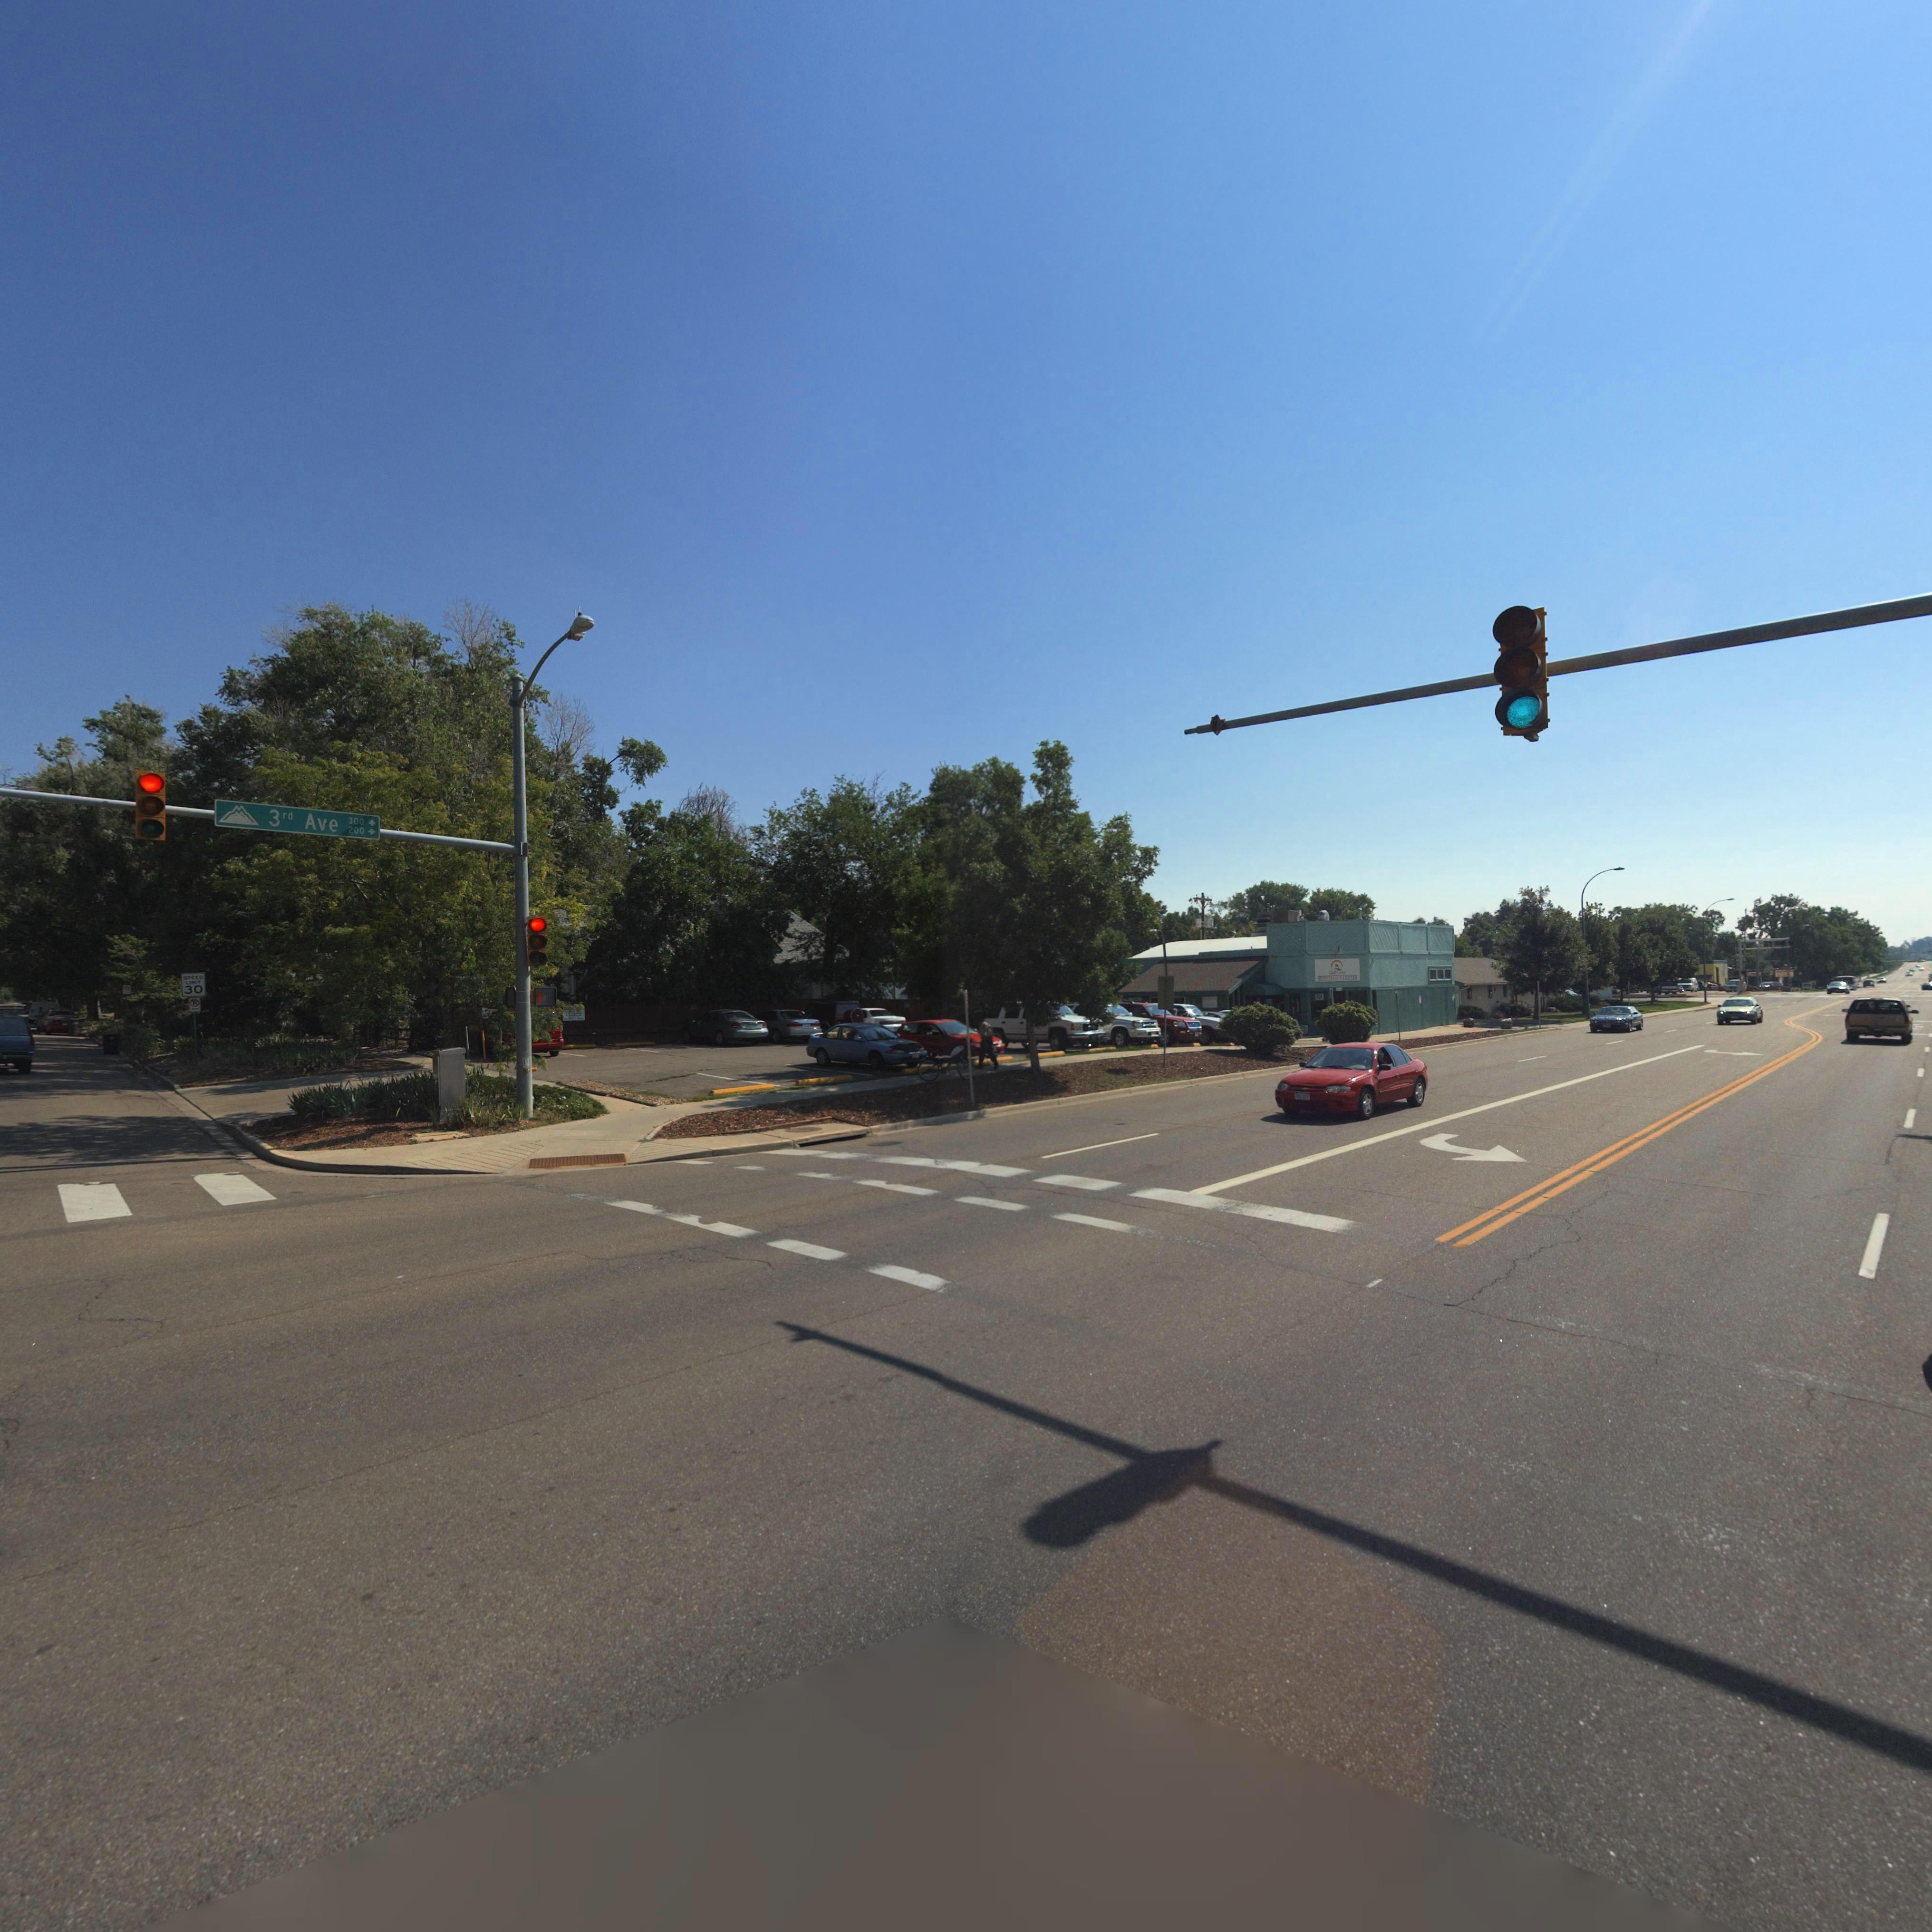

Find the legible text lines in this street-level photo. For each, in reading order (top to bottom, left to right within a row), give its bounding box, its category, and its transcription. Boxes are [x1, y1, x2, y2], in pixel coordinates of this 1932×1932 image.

[268, 808, 338, 832] StreetName: 3rd Ave
[348, 816, 365, 825] StreetNumberRange: 300
[348, 825, 377, 835] StreetNumberRange: 200->
[1328, 970, 1346, 974] BusinessName: OUR C***